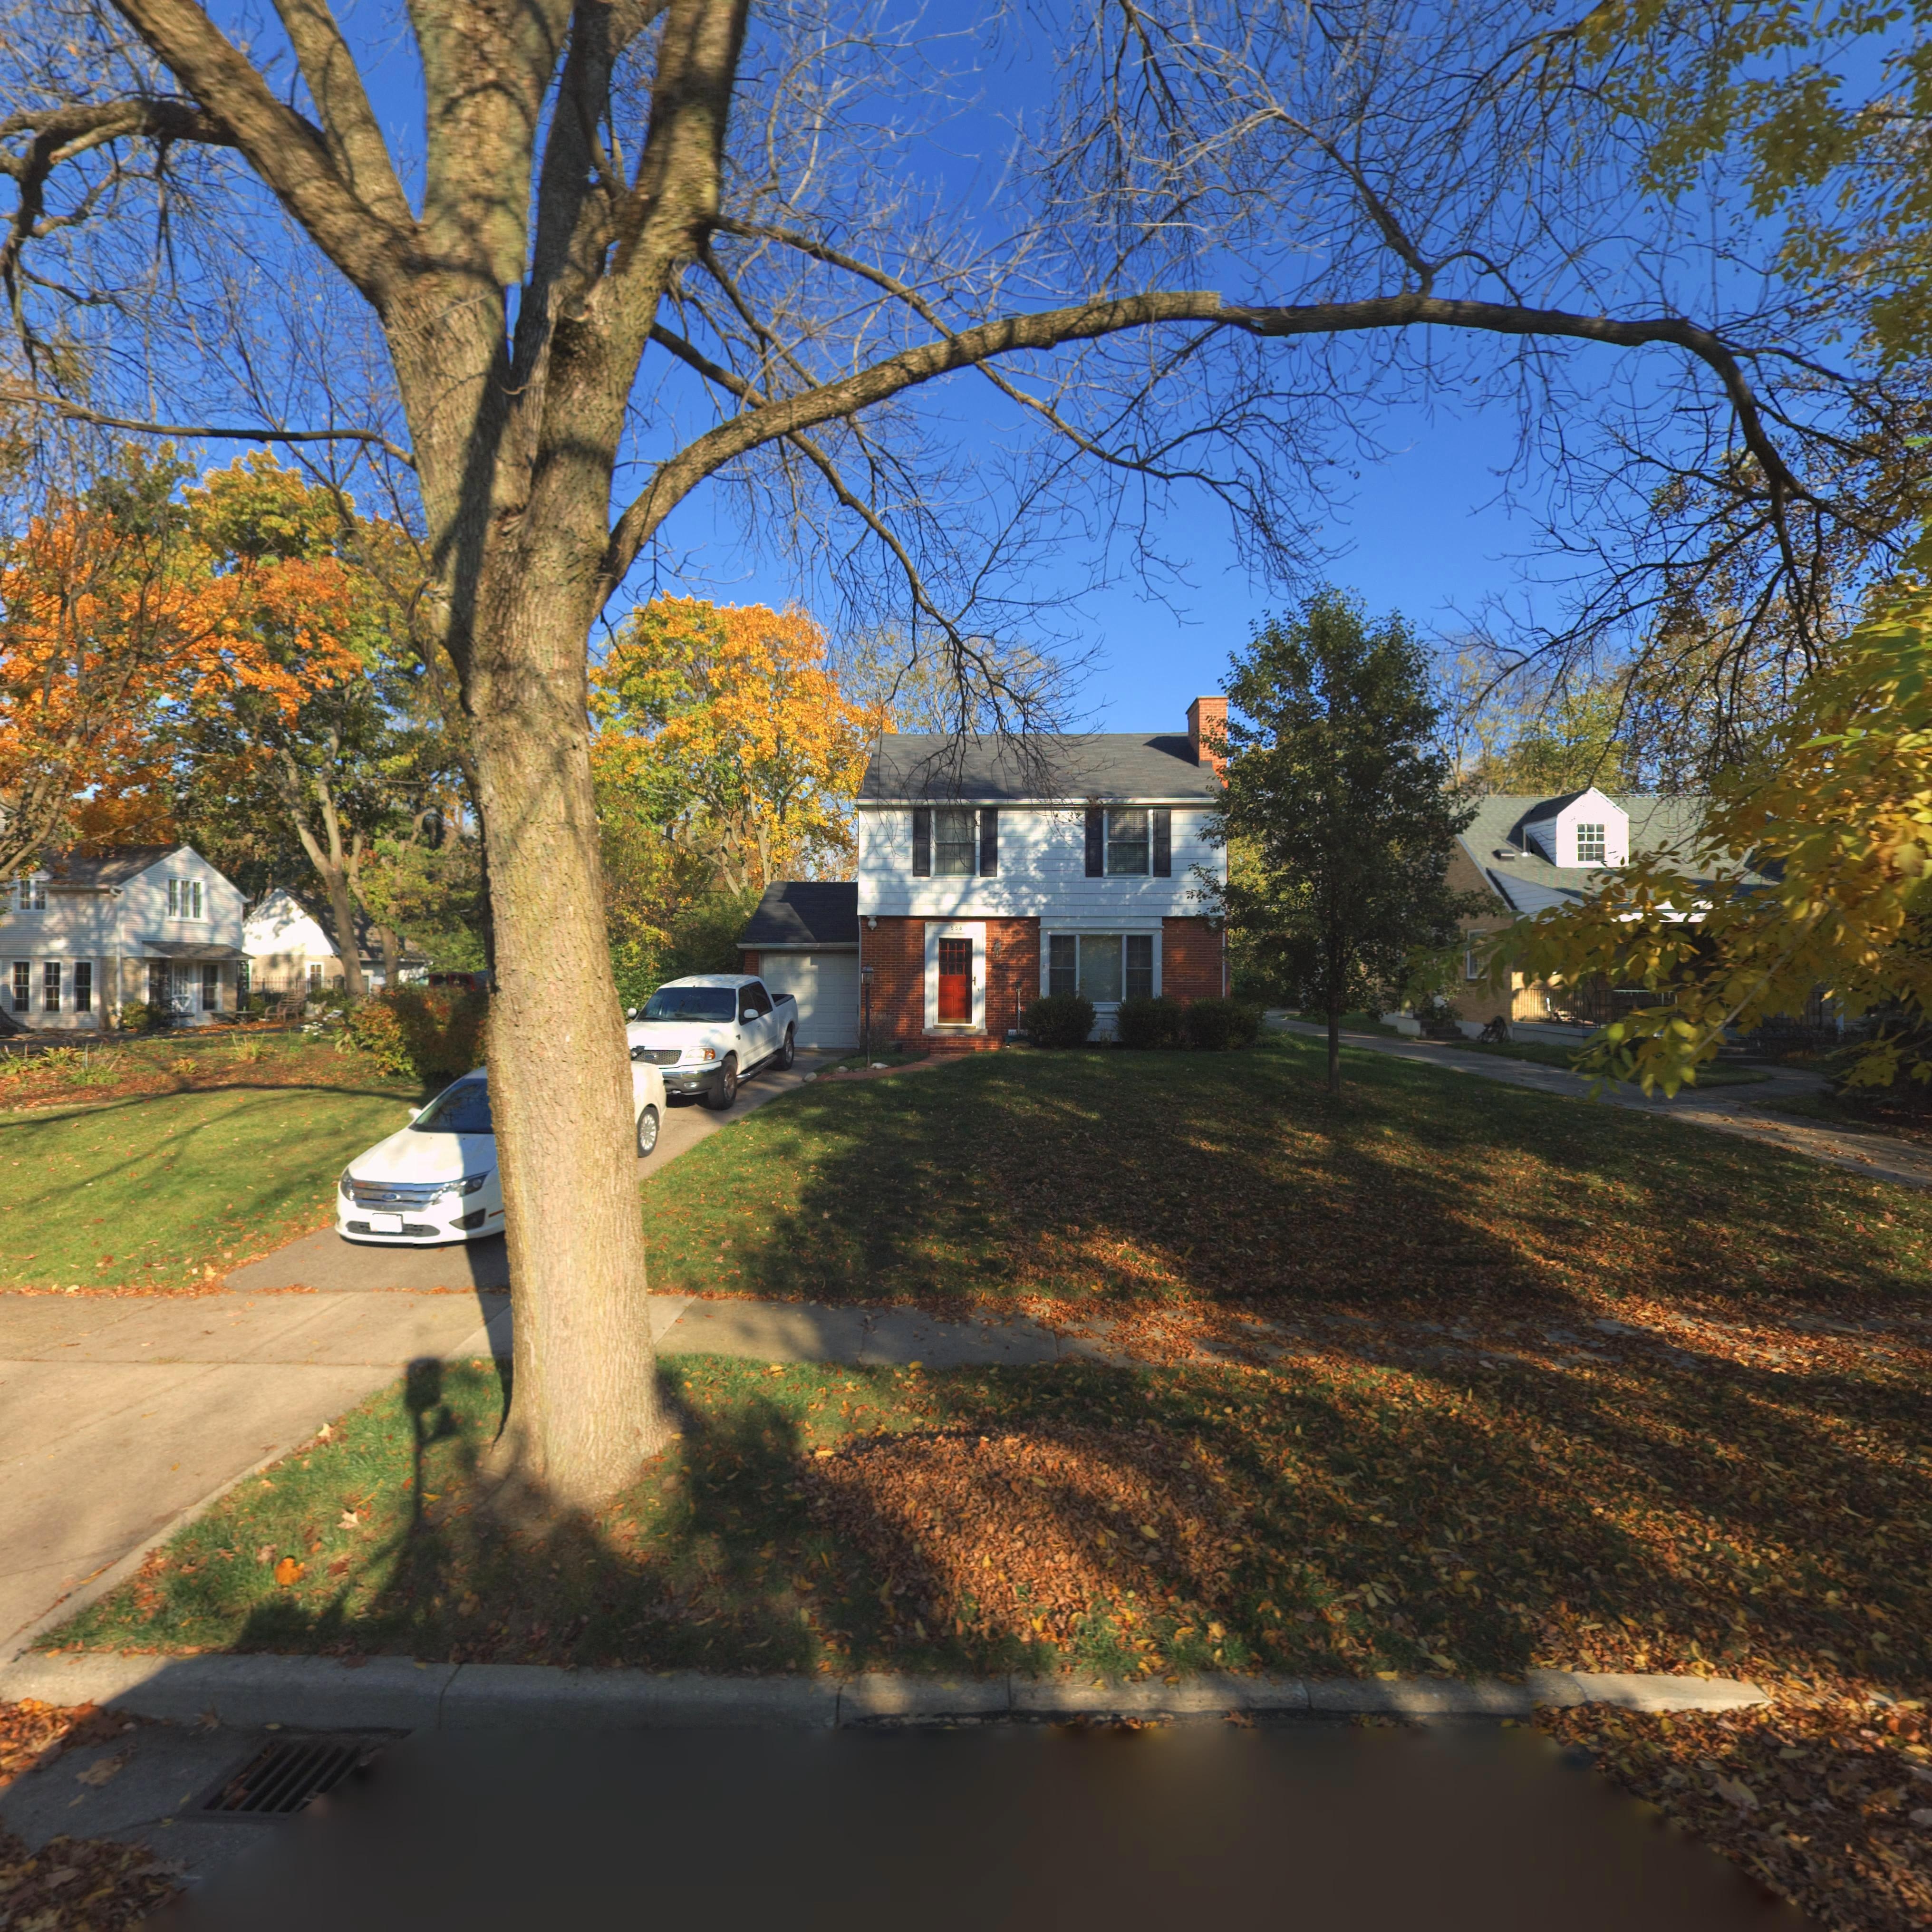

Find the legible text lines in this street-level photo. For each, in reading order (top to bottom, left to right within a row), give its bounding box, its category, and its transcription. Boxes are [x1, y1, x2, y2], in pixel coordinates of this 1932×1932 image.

[950, 925, 963, 930] StreetNumber: 558